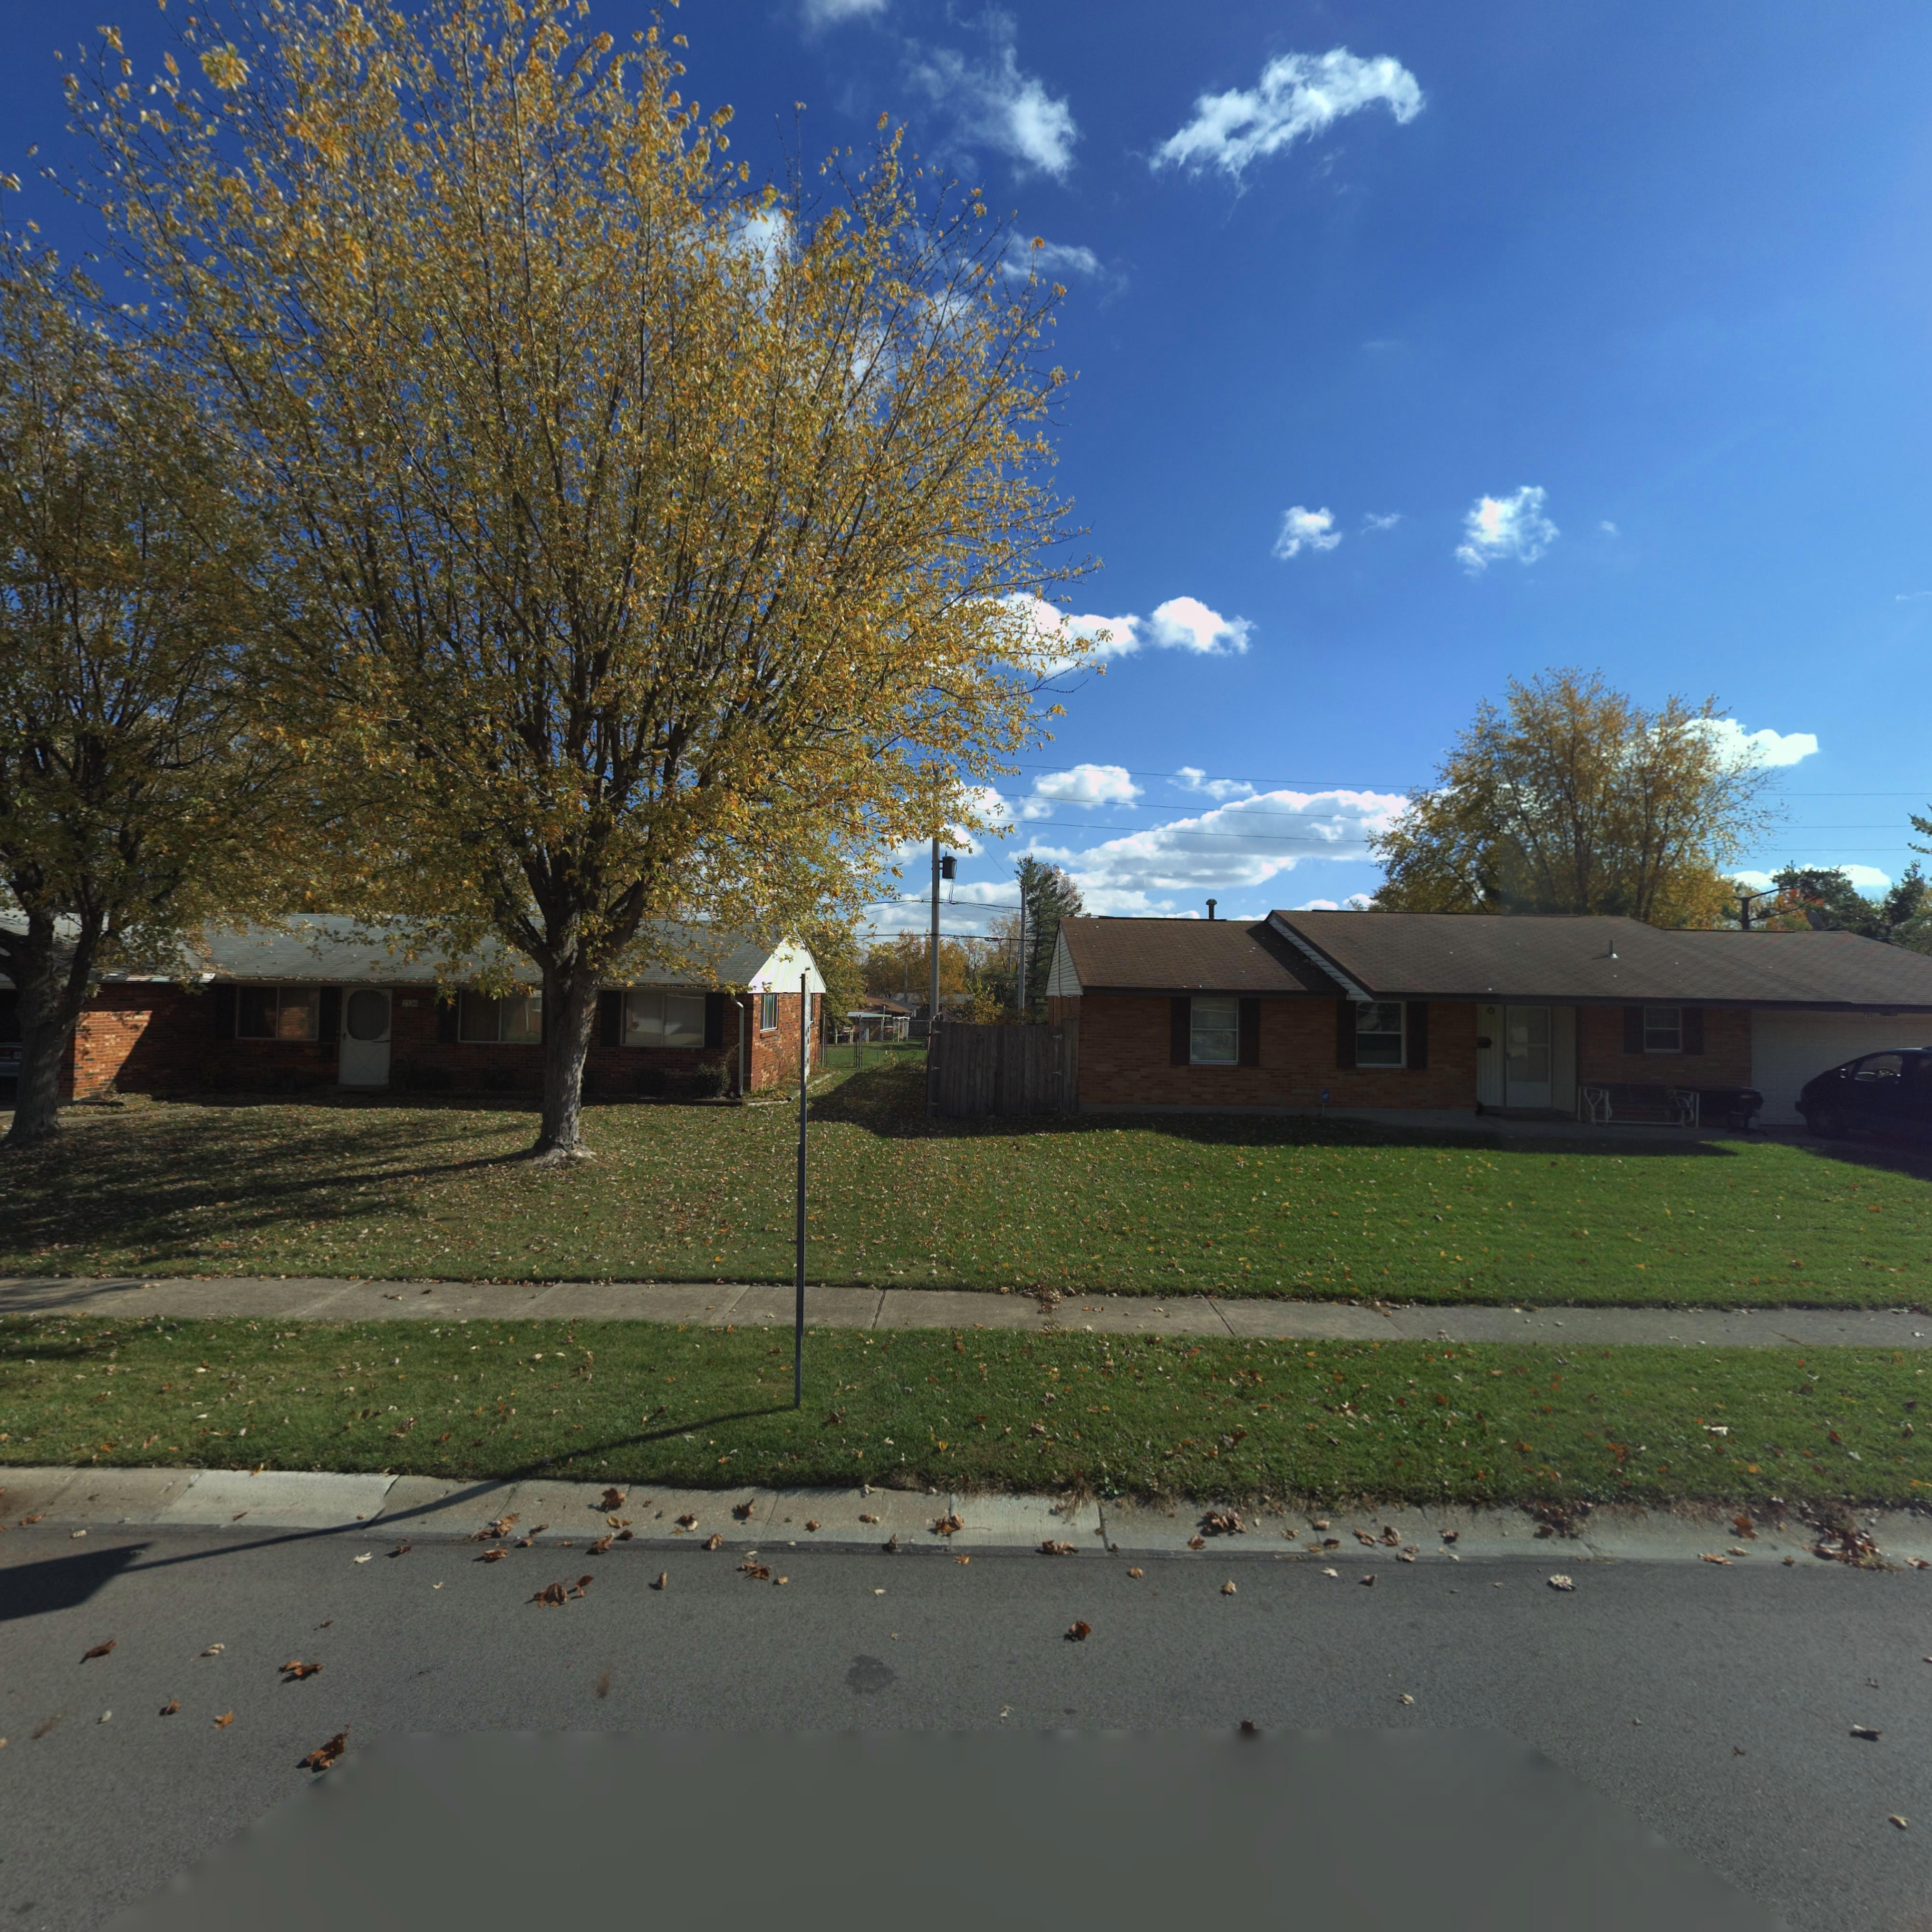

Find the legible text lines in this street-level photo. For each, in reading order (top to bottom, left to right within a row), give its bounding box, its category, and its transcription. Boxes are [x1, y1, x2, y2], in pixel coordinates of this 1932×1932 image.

[403, 999, 418, 1007] StreetNumber: *5**